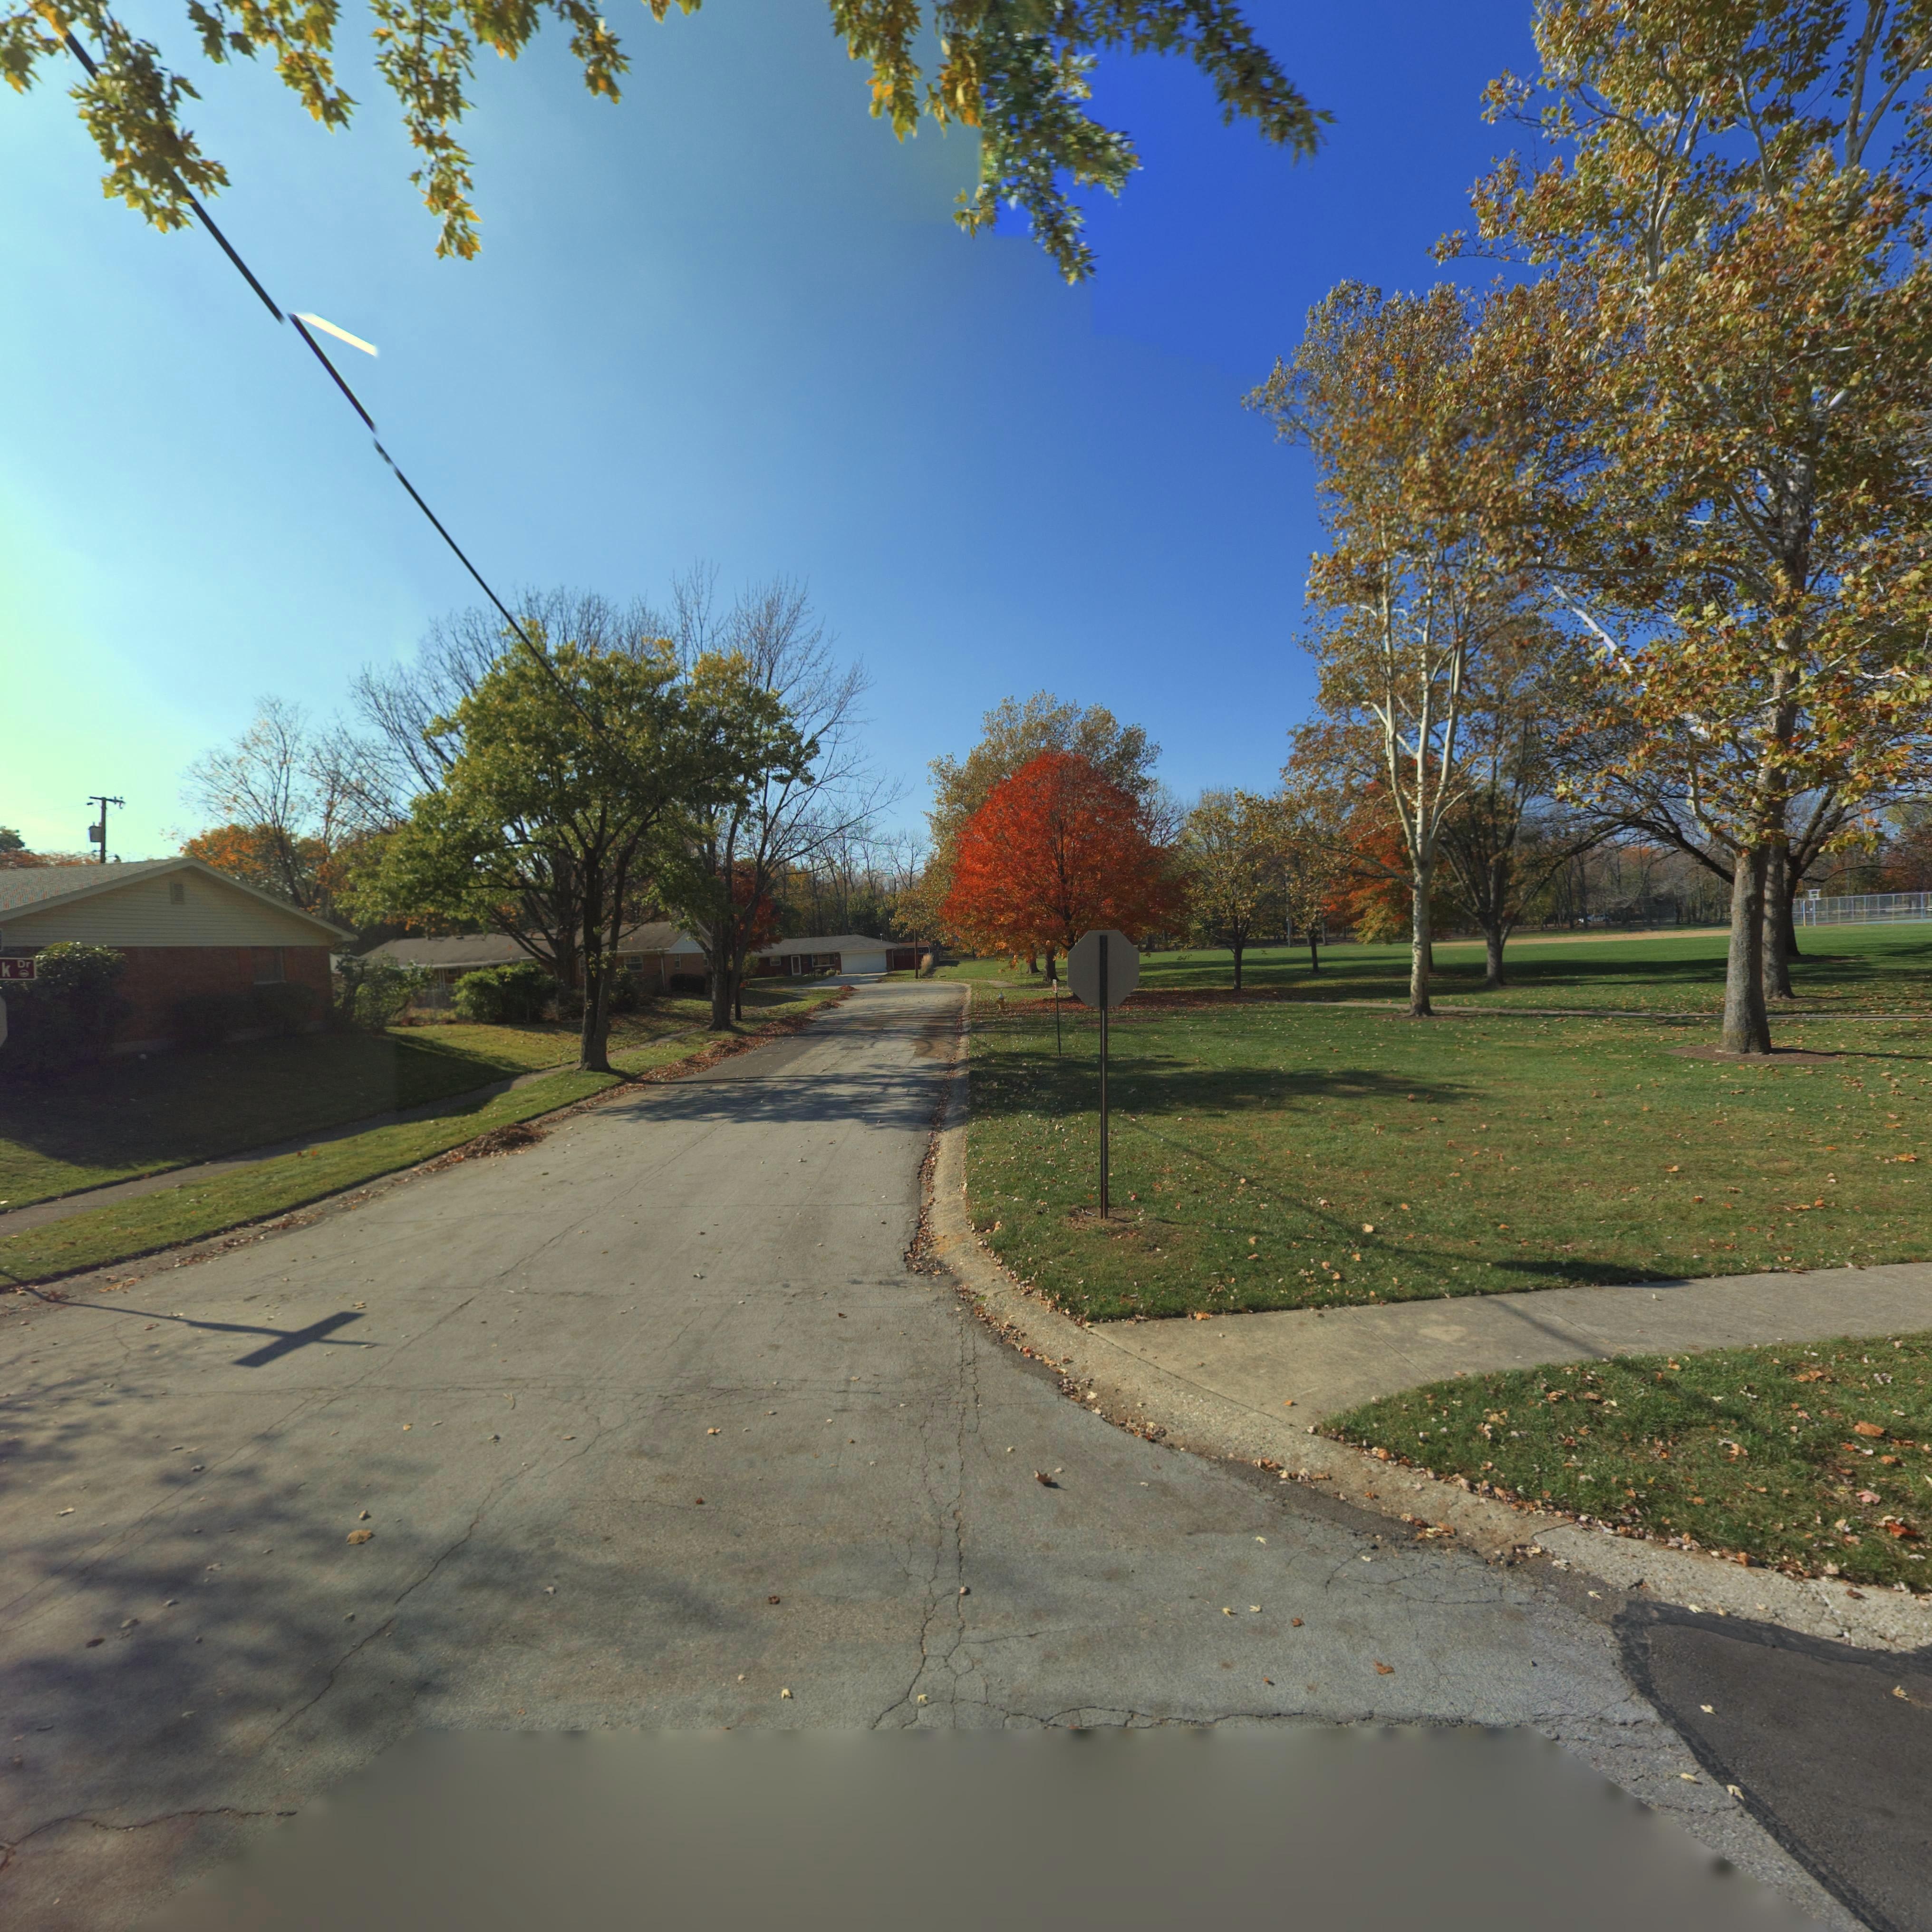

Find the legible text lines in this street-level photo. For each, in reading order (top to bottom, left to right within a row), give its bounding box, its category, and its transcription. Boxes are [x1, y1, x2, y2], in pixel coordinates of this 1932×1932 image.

[0, 958, 32, 978] StreetName: k Dr